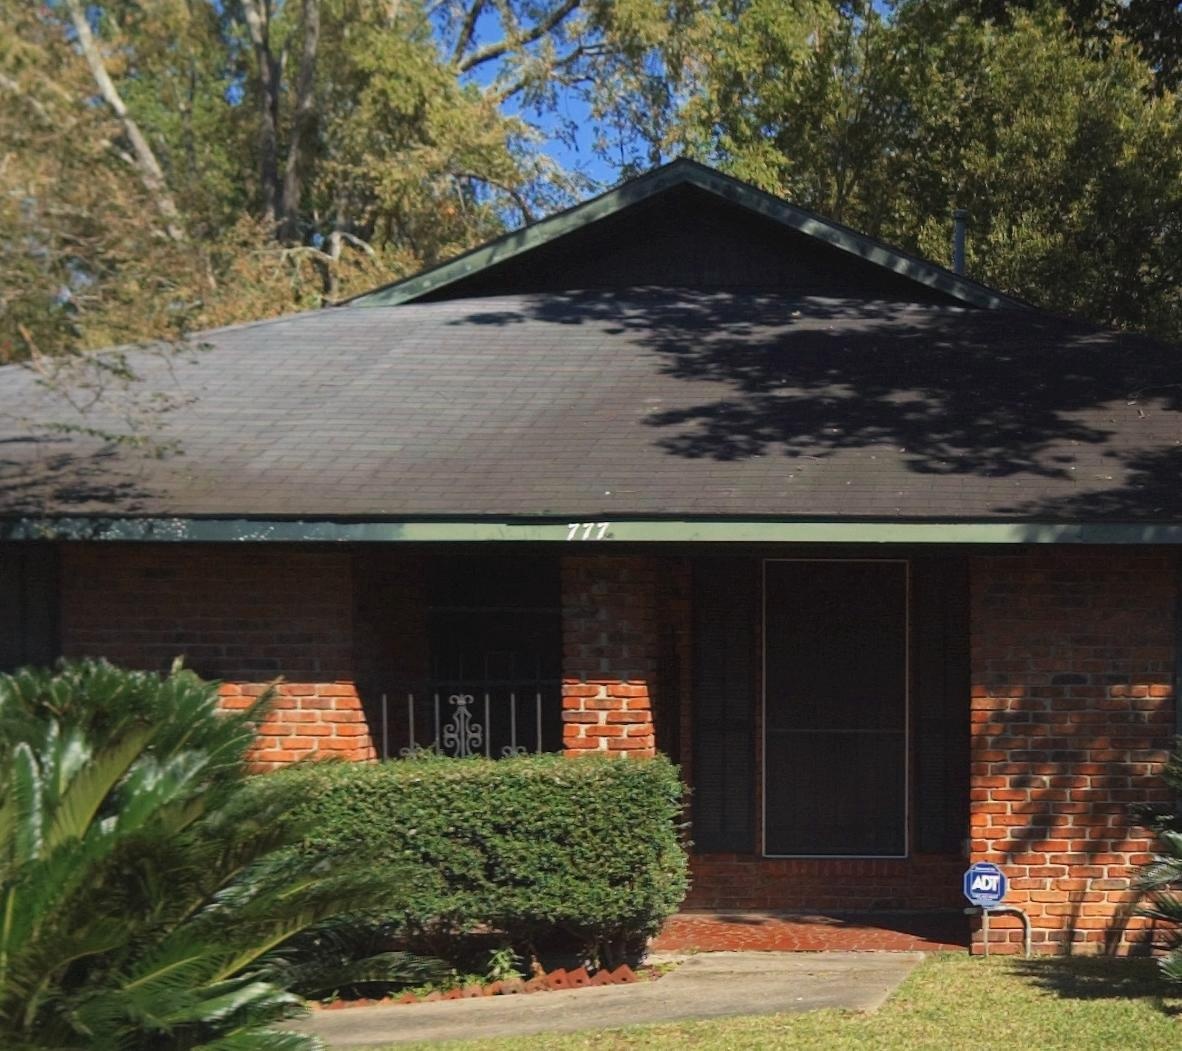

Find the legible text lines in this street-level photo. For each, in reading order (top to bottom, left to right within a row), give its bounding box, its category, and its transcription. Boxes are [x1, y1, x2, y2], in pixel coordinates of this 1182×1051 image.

[562, 519, 612, 543] StreetNumber: 777
[970, 872, 1001, 893] None: ADT